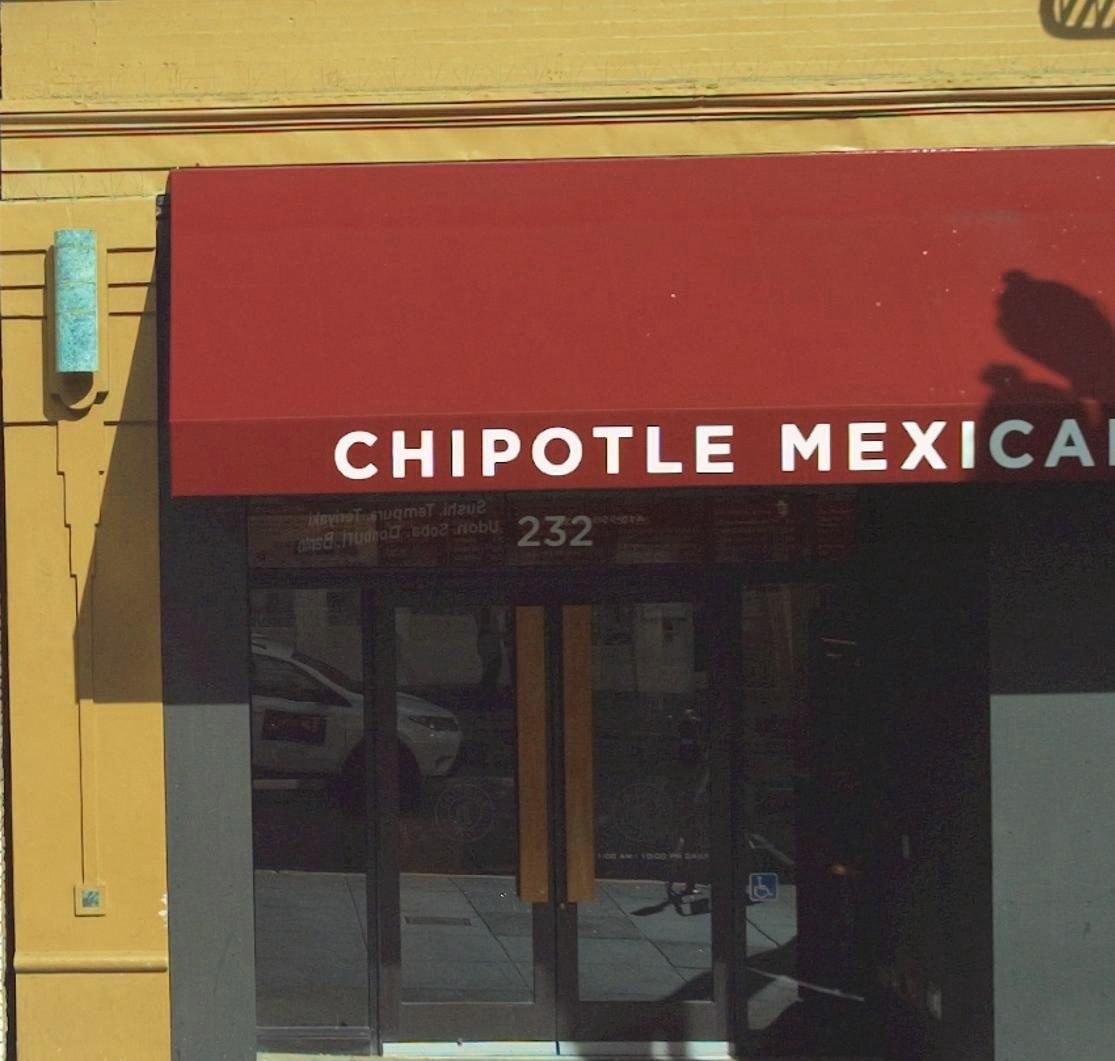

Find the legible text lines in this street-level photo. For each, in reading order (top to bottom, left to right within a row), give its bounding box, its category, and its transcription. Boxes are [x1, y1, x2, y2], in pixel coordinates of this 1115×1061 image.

[331, 414, 1101, 486] BusinessName: CHIPOTLE MEXICA
[300, 496, 492, 533] None: i*****T .******T .i***u*
[292, 515, 502, 559] None: o*** .*u**o* .**o* .*o*U
[514, 511, 599, 551] StreetNumber: 232